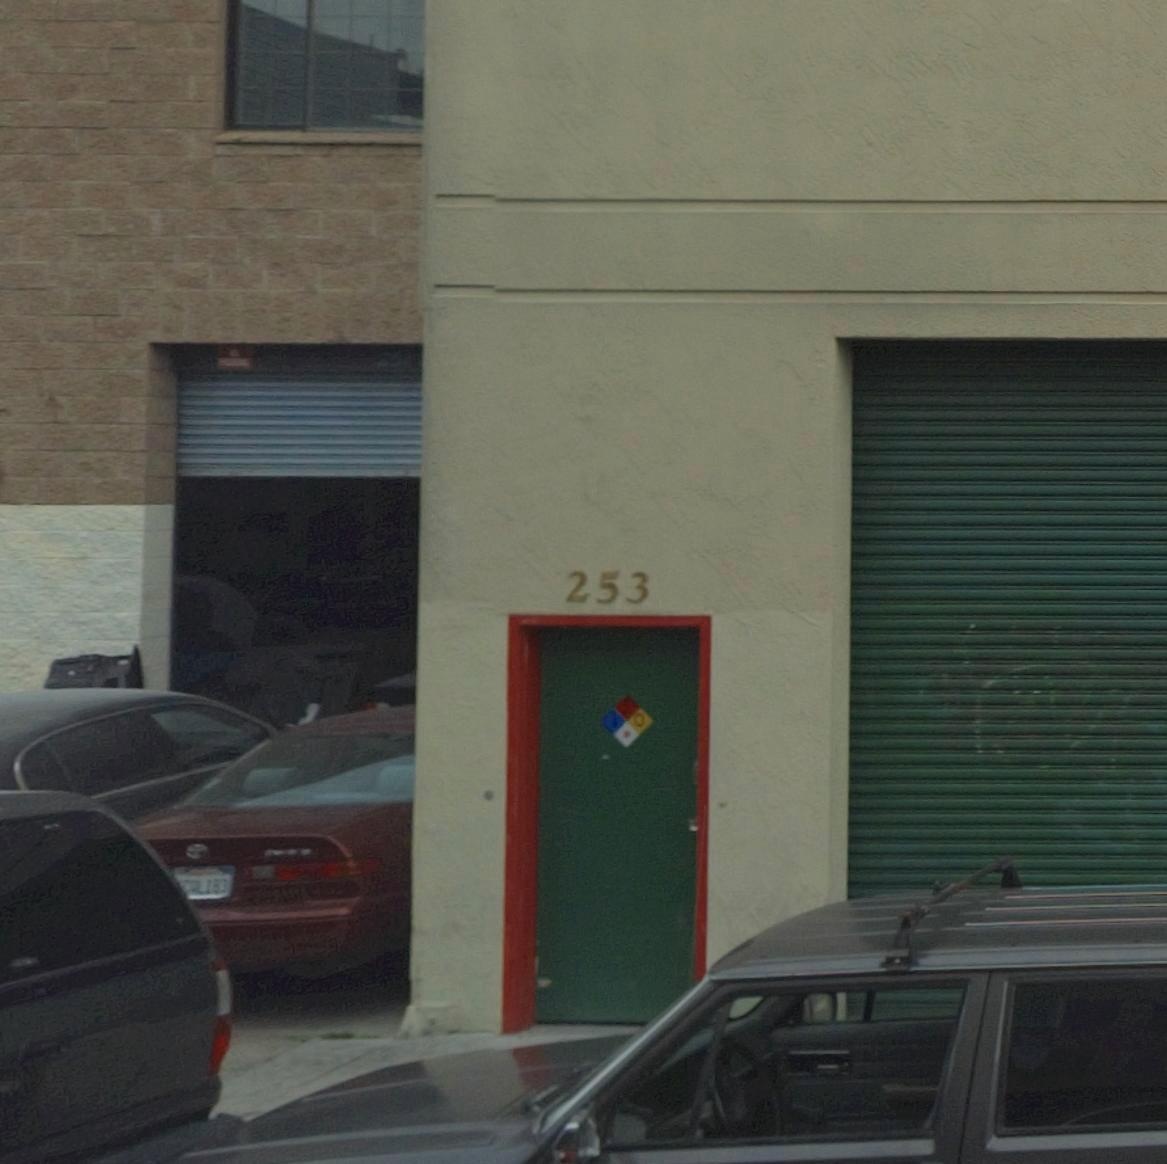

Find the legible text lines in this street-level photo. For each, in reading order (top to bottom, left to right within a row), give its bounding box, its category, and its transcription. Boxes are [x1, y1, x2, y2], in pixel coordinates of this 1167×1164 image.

[565, 568, 651, 605] StreetNumber: 253
[611, 698, 647, 729] None: 150
[204, 877, 228, 895] None: *83